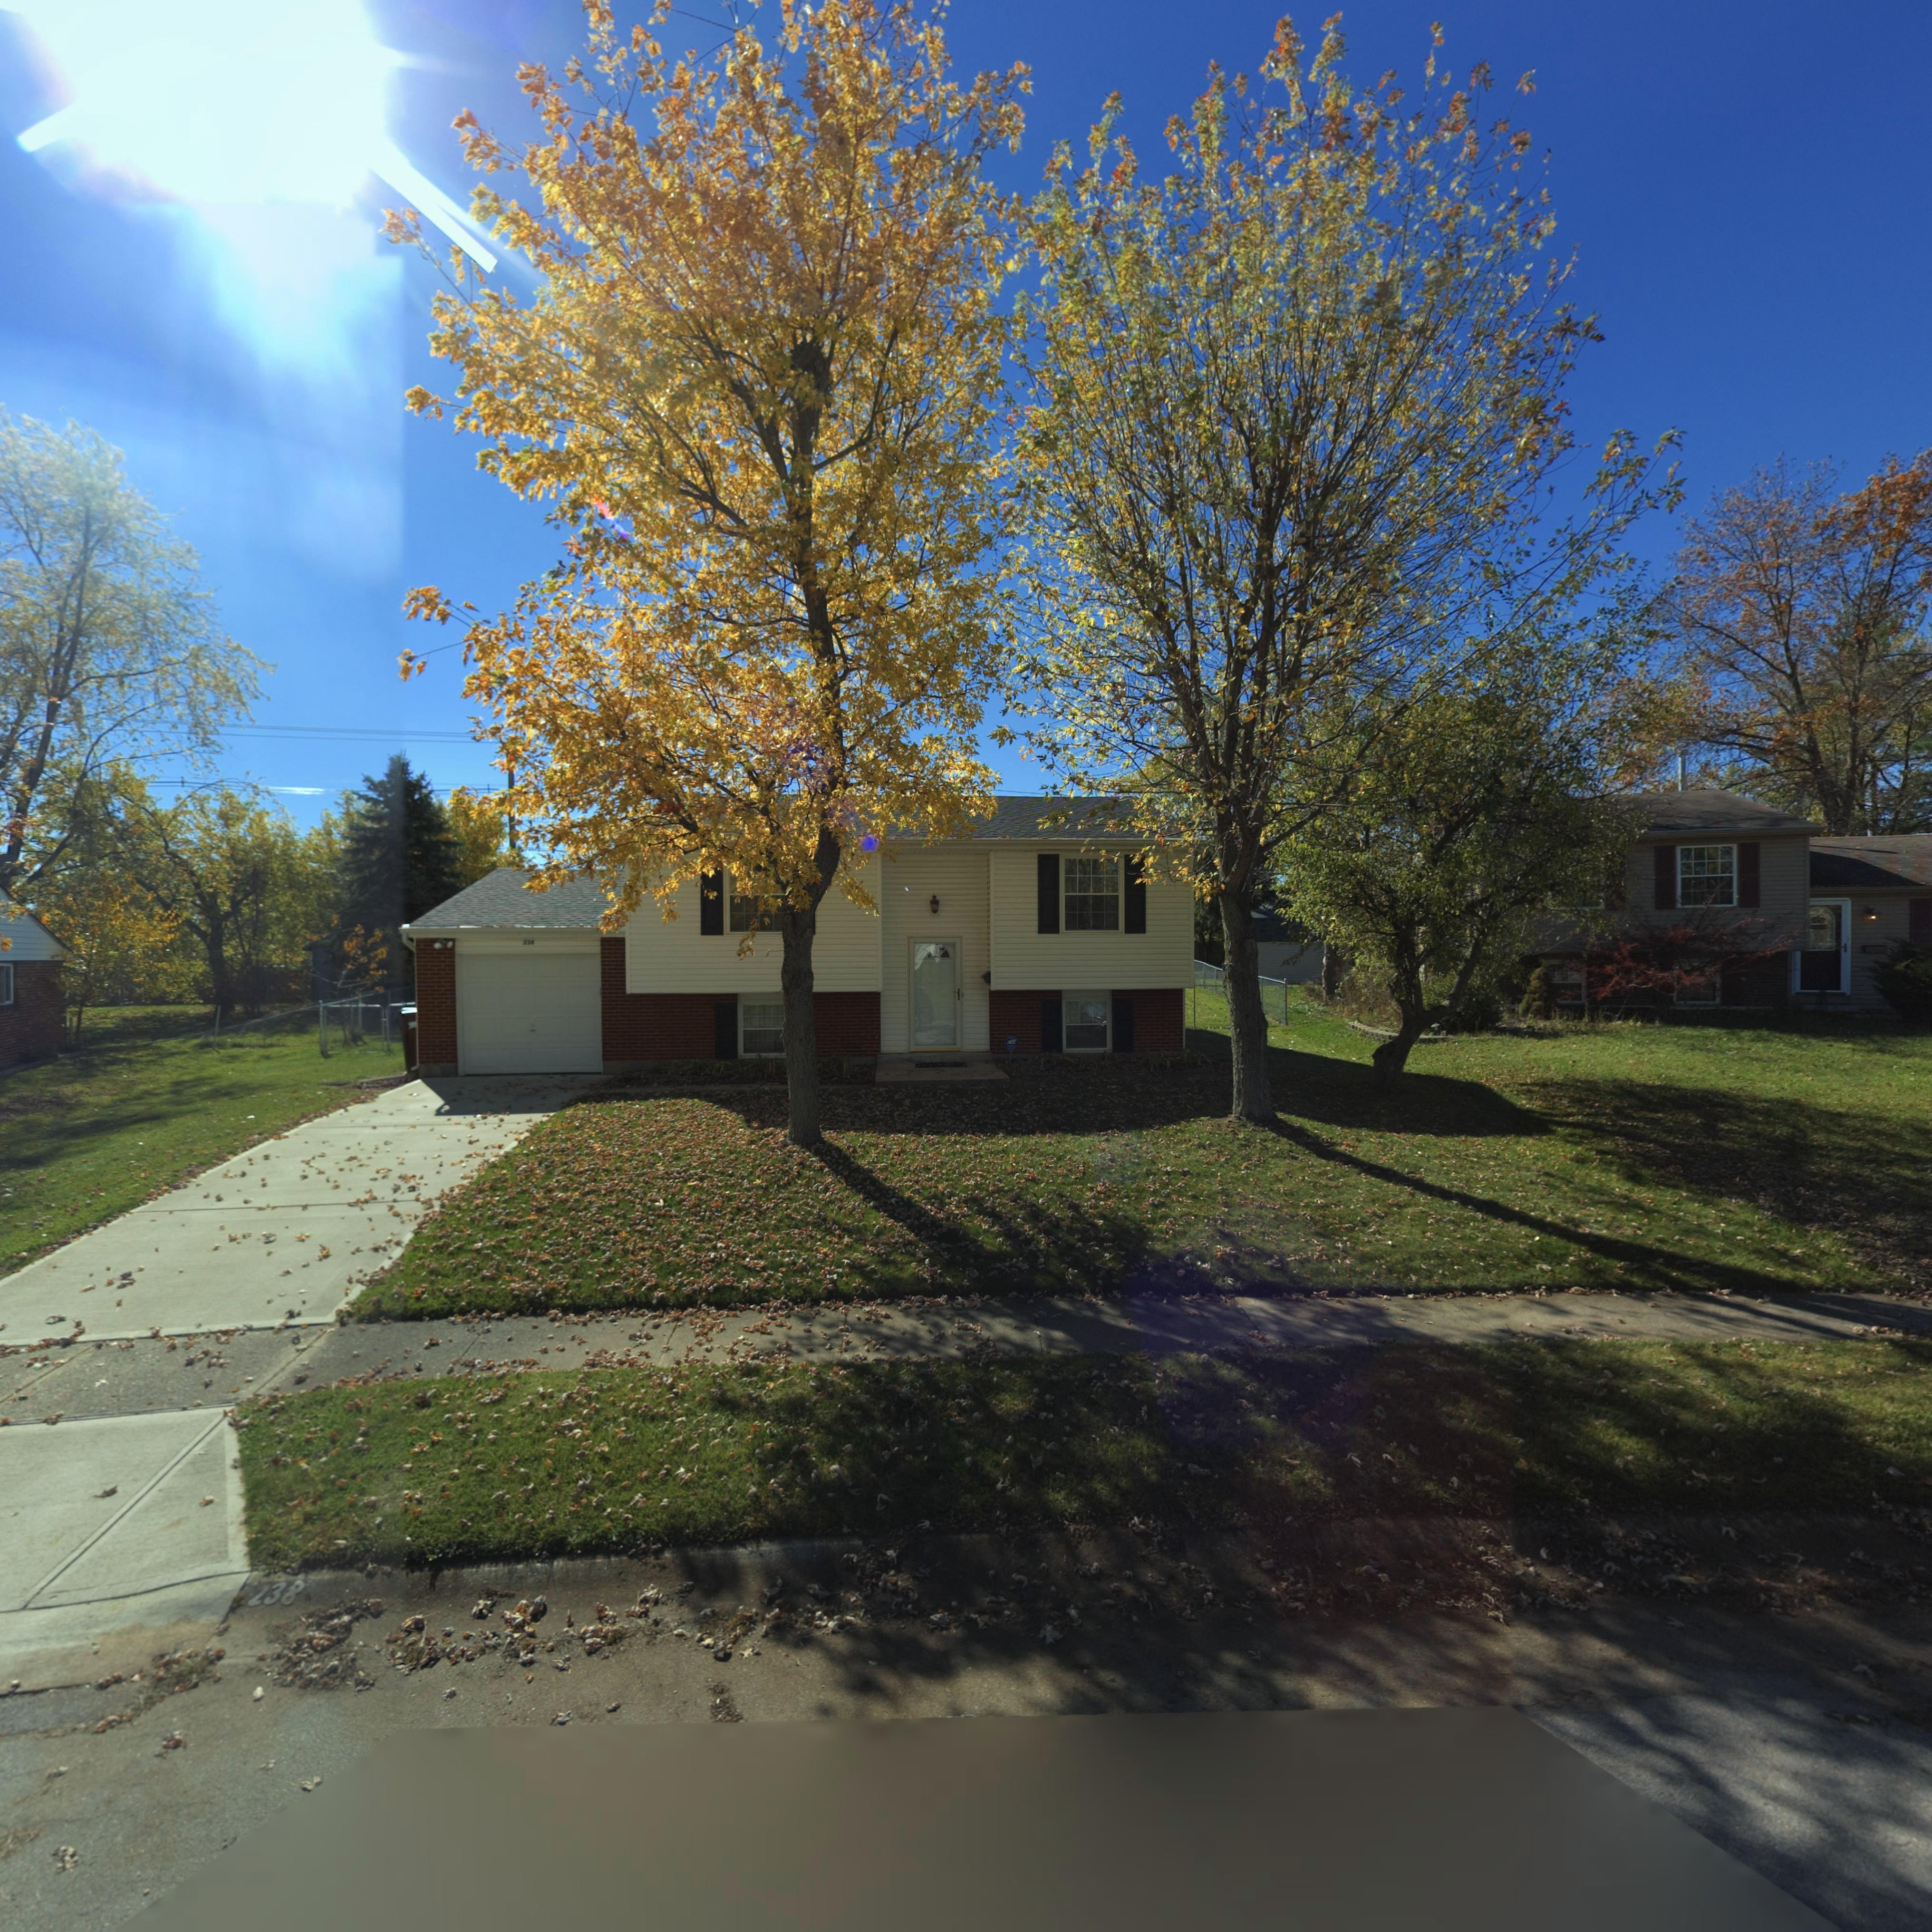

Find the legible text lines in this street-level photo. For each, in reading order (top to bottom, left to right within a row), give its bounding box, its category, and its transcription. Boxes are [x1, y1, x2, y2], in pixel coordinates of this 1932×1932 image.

[522, 939, 535, 945] StreetNumber: 238